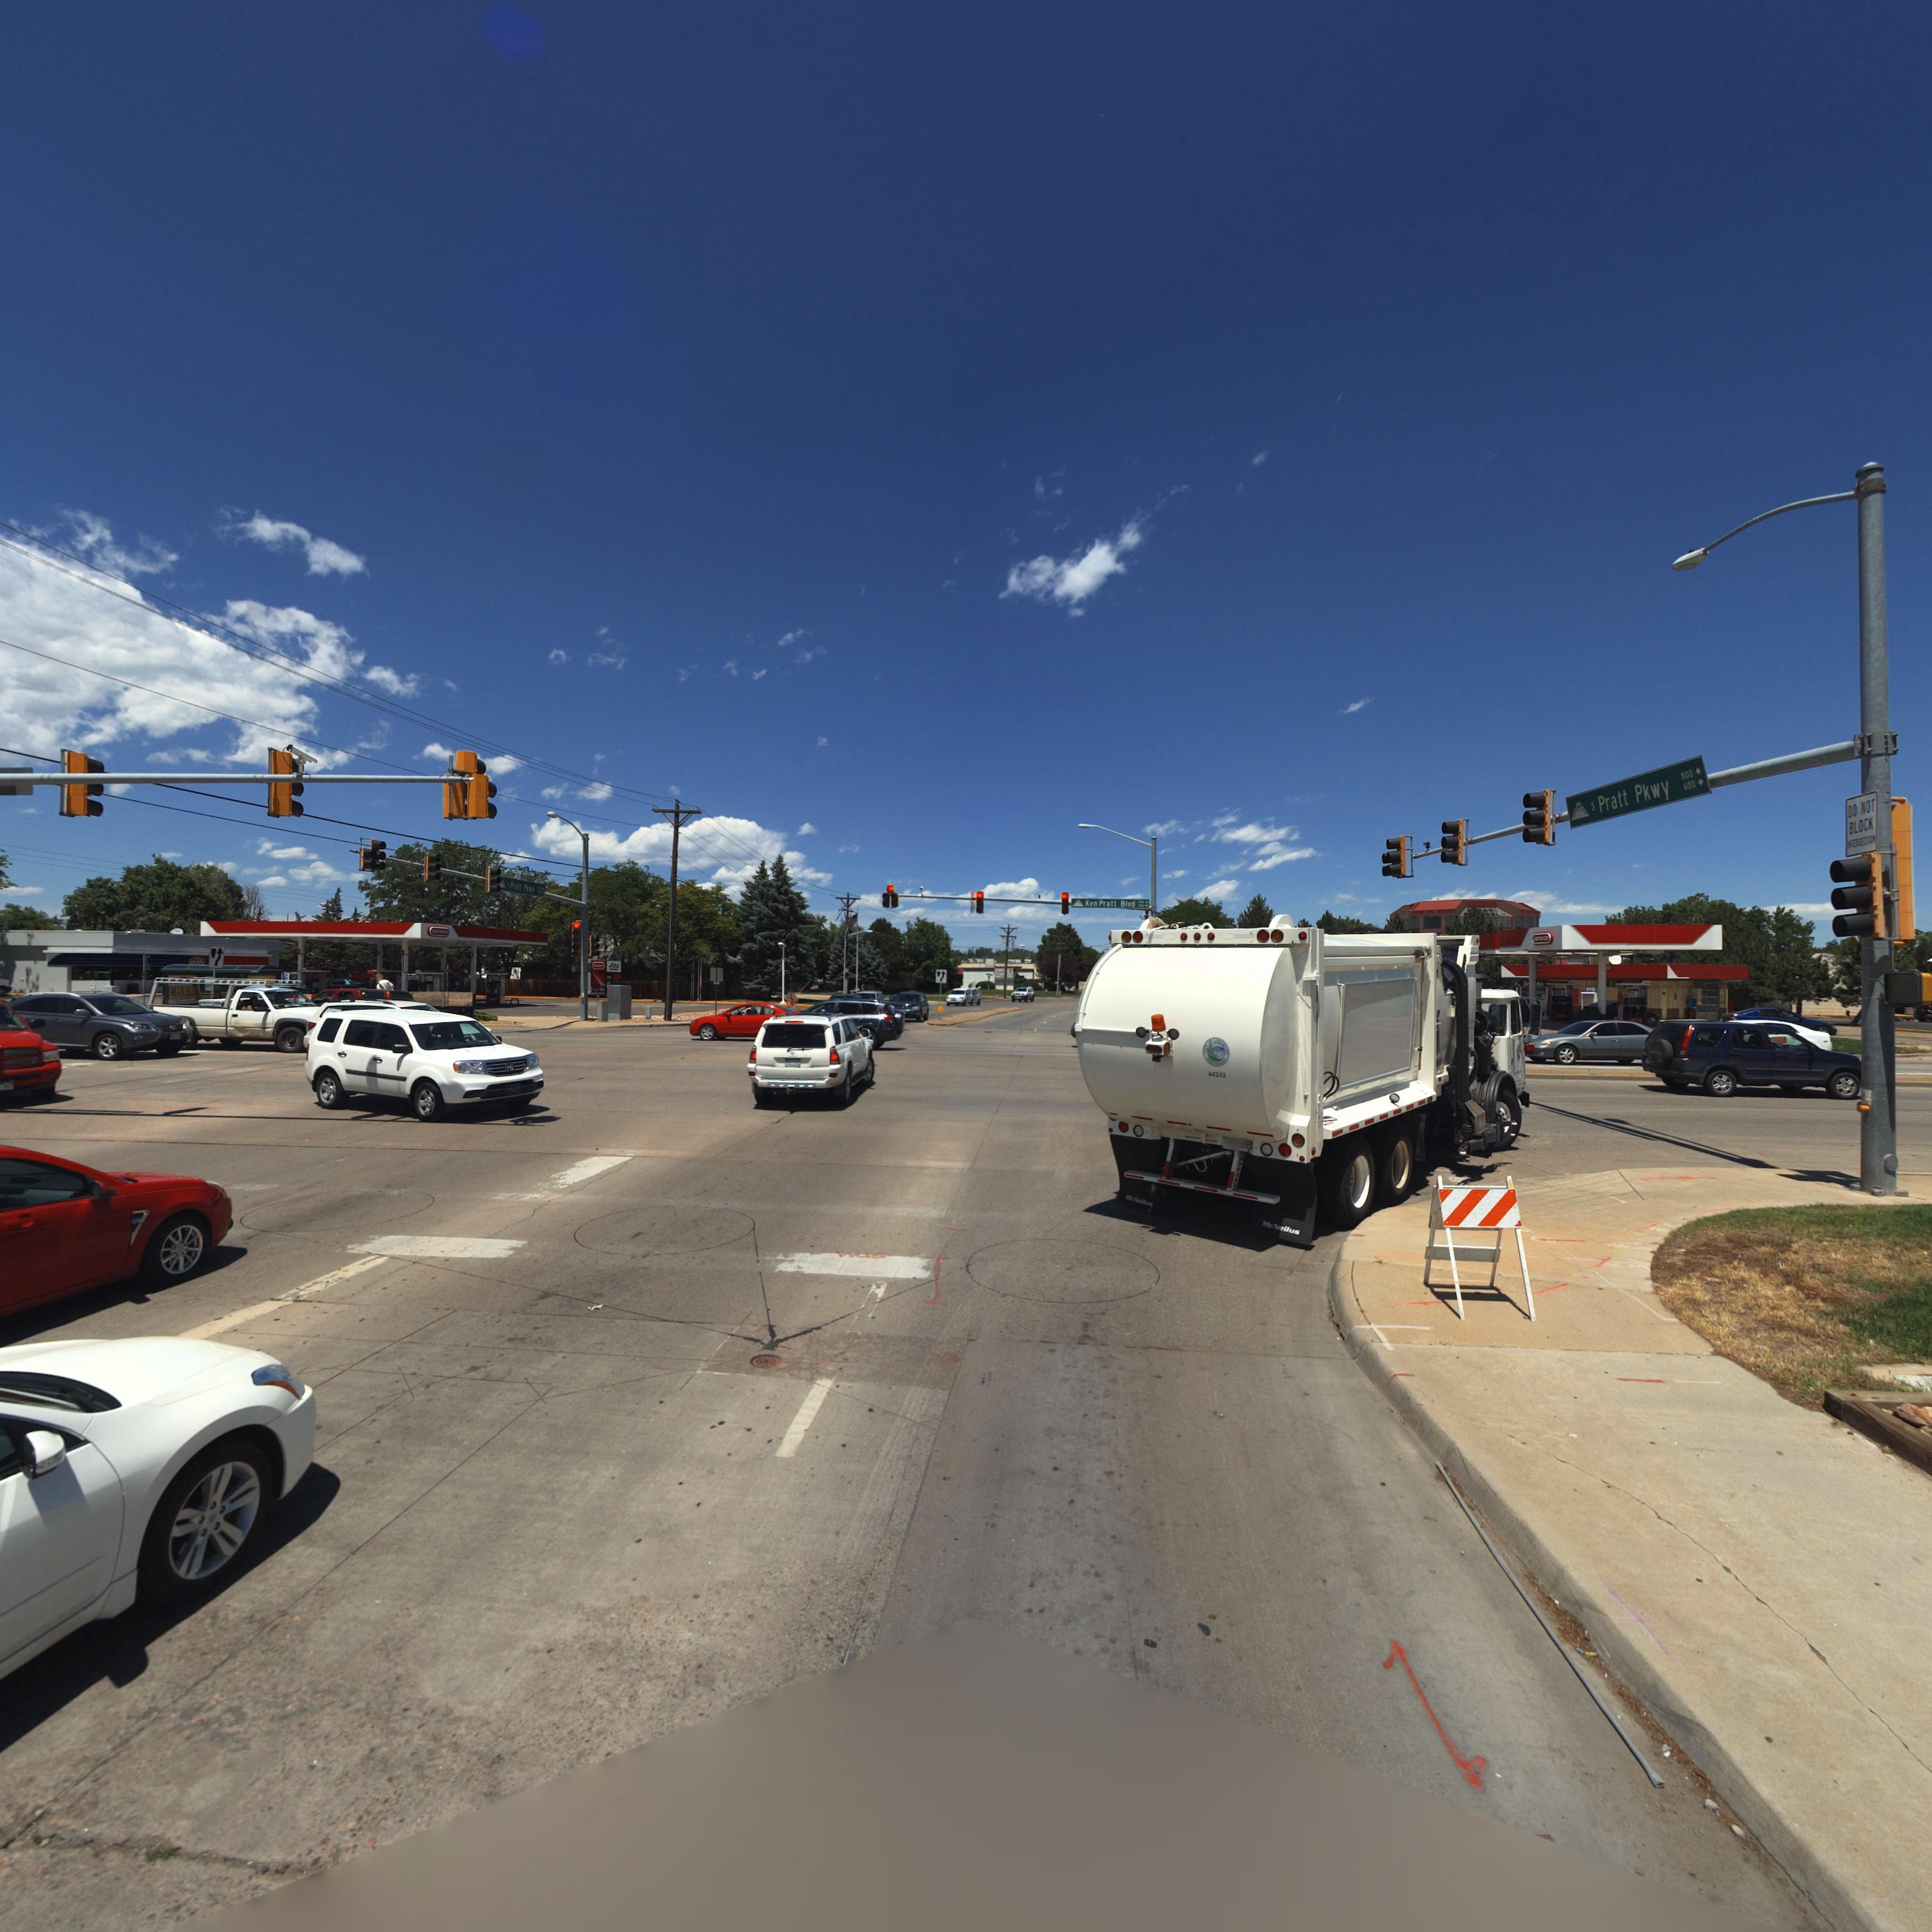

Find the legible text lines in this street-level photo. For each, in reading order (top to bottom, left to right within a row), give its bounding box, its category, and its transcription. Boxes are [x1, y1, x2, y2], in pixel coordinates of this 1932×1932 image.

[1680, 768, 1694, 781] StreetNumberRange: 800
[1683, 778, 1704, 791] StreetNumberRange: 600->
[1590, 779, 1669, 813] StreetName: s Pratt Pkwy
[506, 881, 535, 894] StreetName: * Pratt Pkwy
[1085, 899, 1135, 907] StreetName: Ken Pratt Blvd
[431, 929, 448, 934] BusinessName: conoco
[1533, 935, 1548, 941] BusinessName: c**oc*